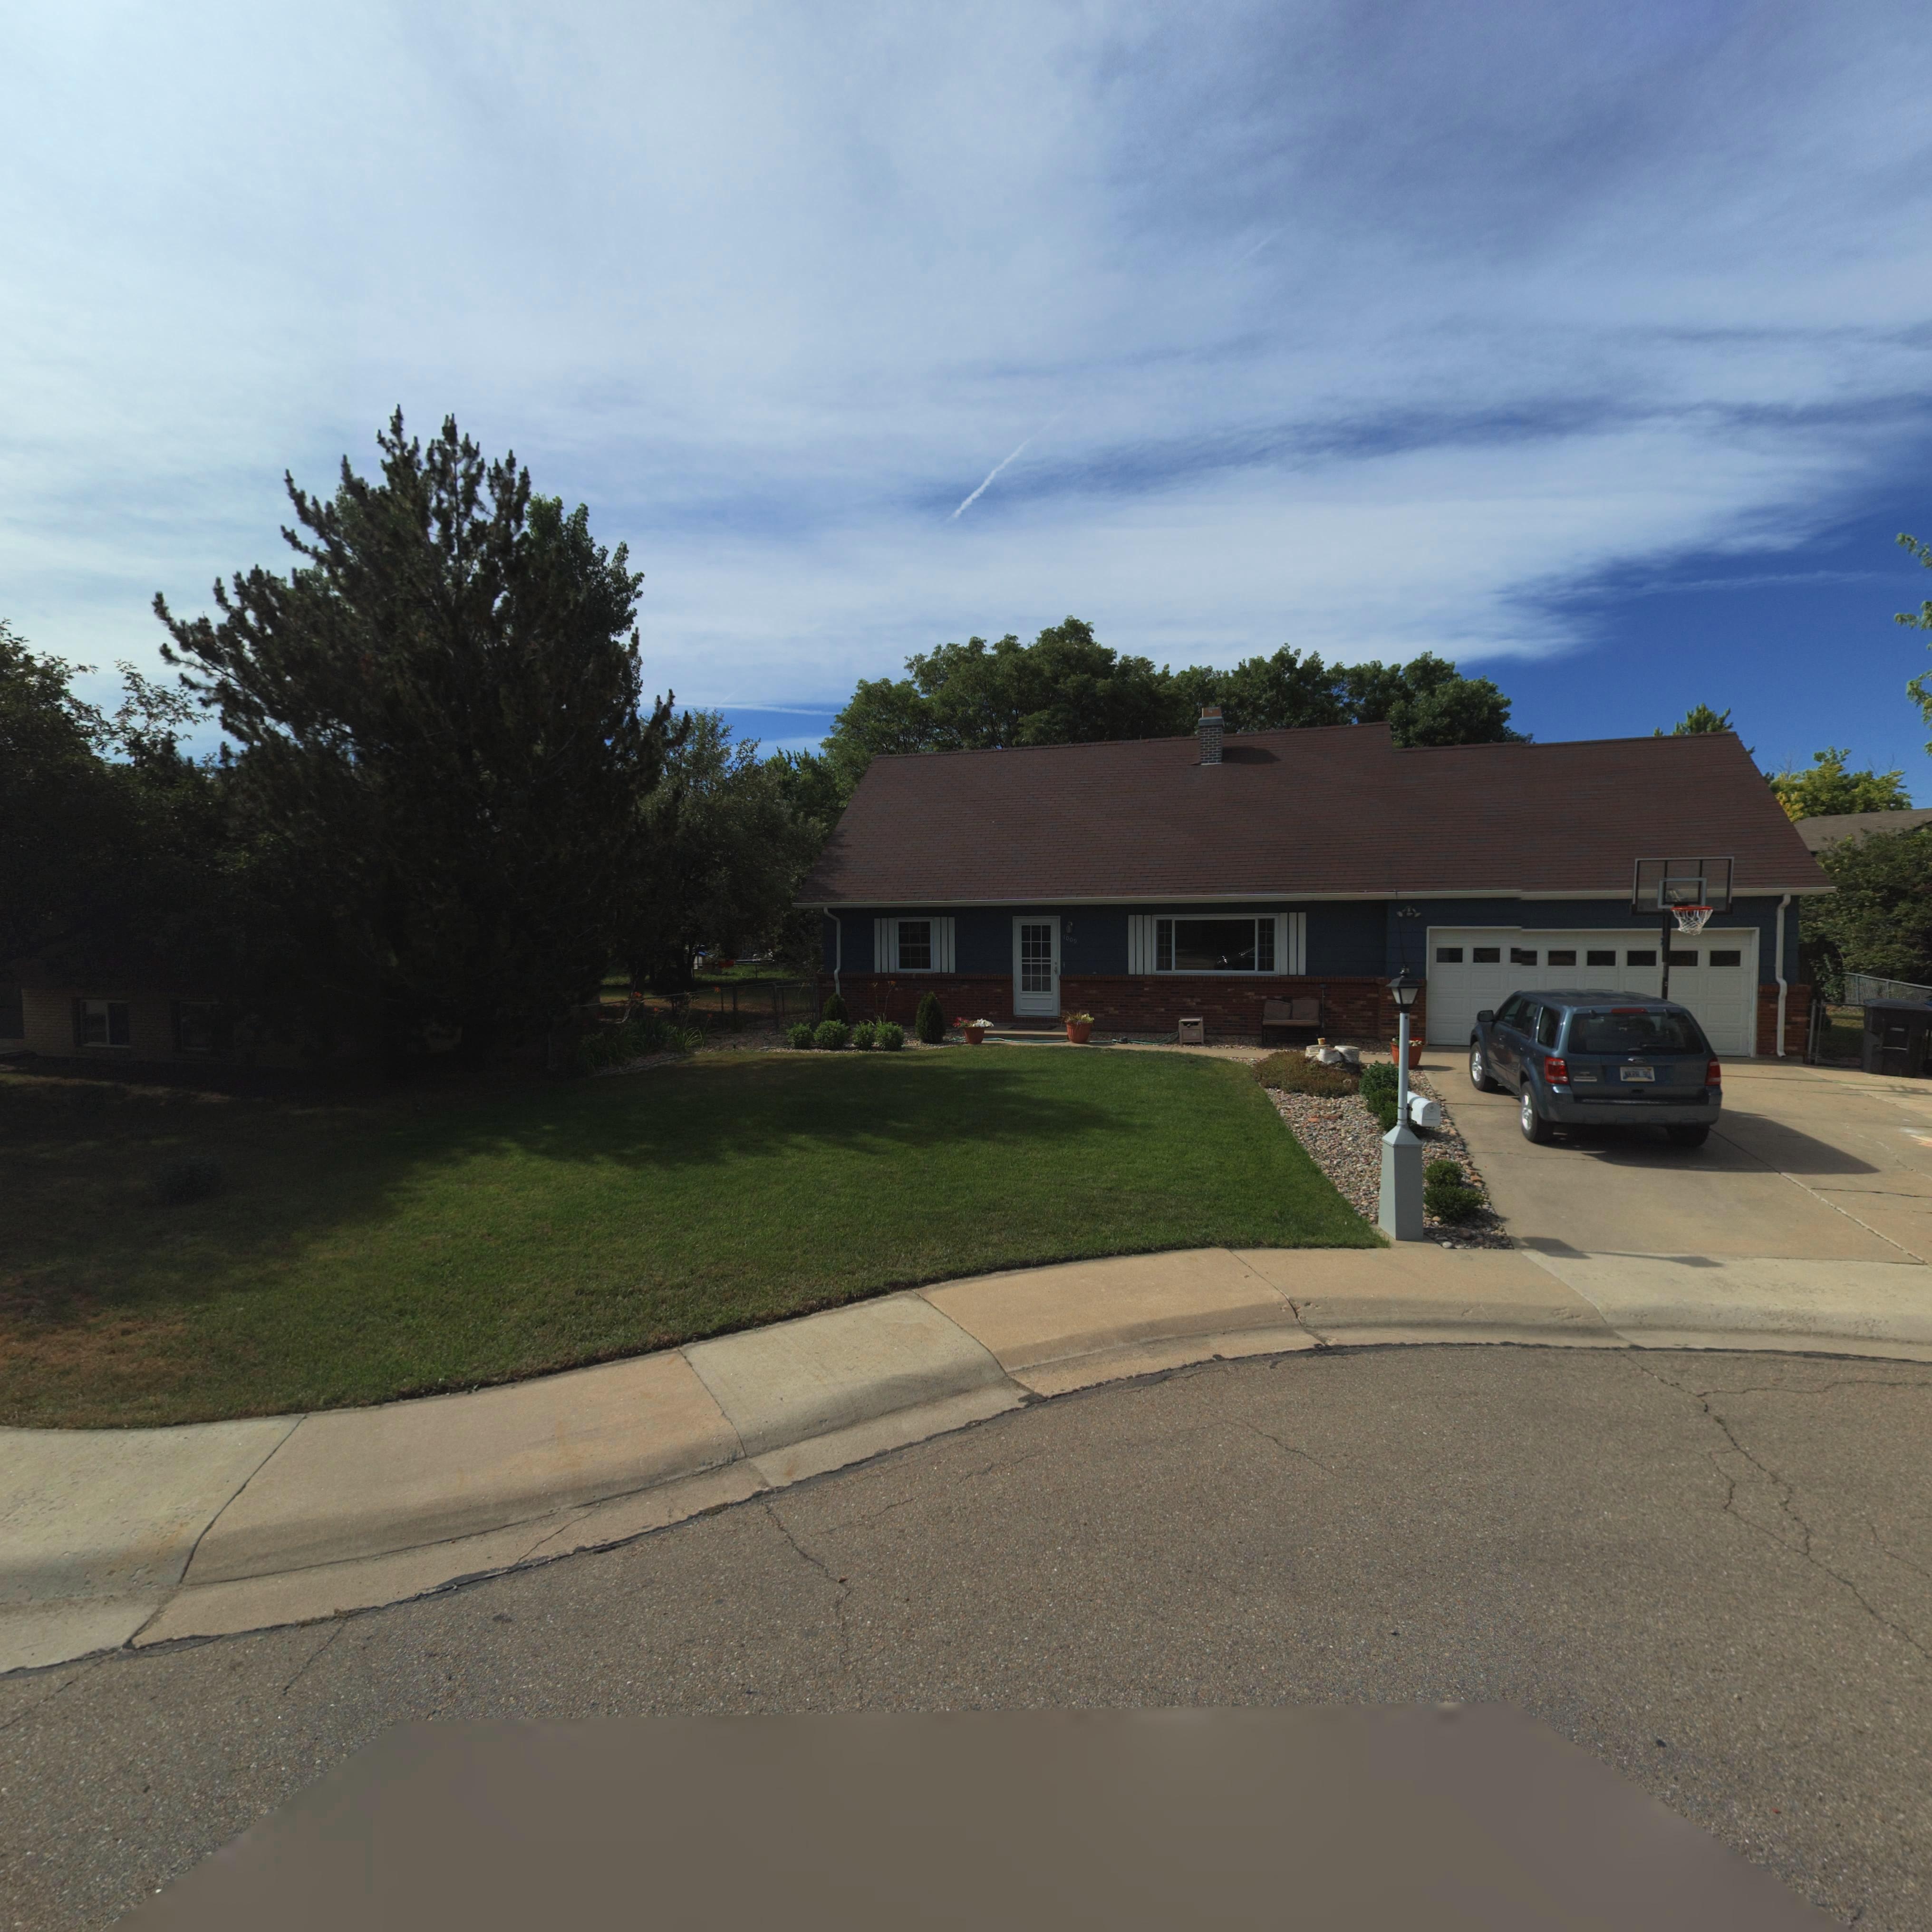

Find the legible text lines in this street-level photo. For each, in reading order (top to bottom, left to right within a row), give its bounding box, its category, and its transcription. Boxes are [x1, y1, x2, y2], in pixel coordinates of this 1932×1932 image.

[1063, 934, 1077, 944] StreetNumber: 1009